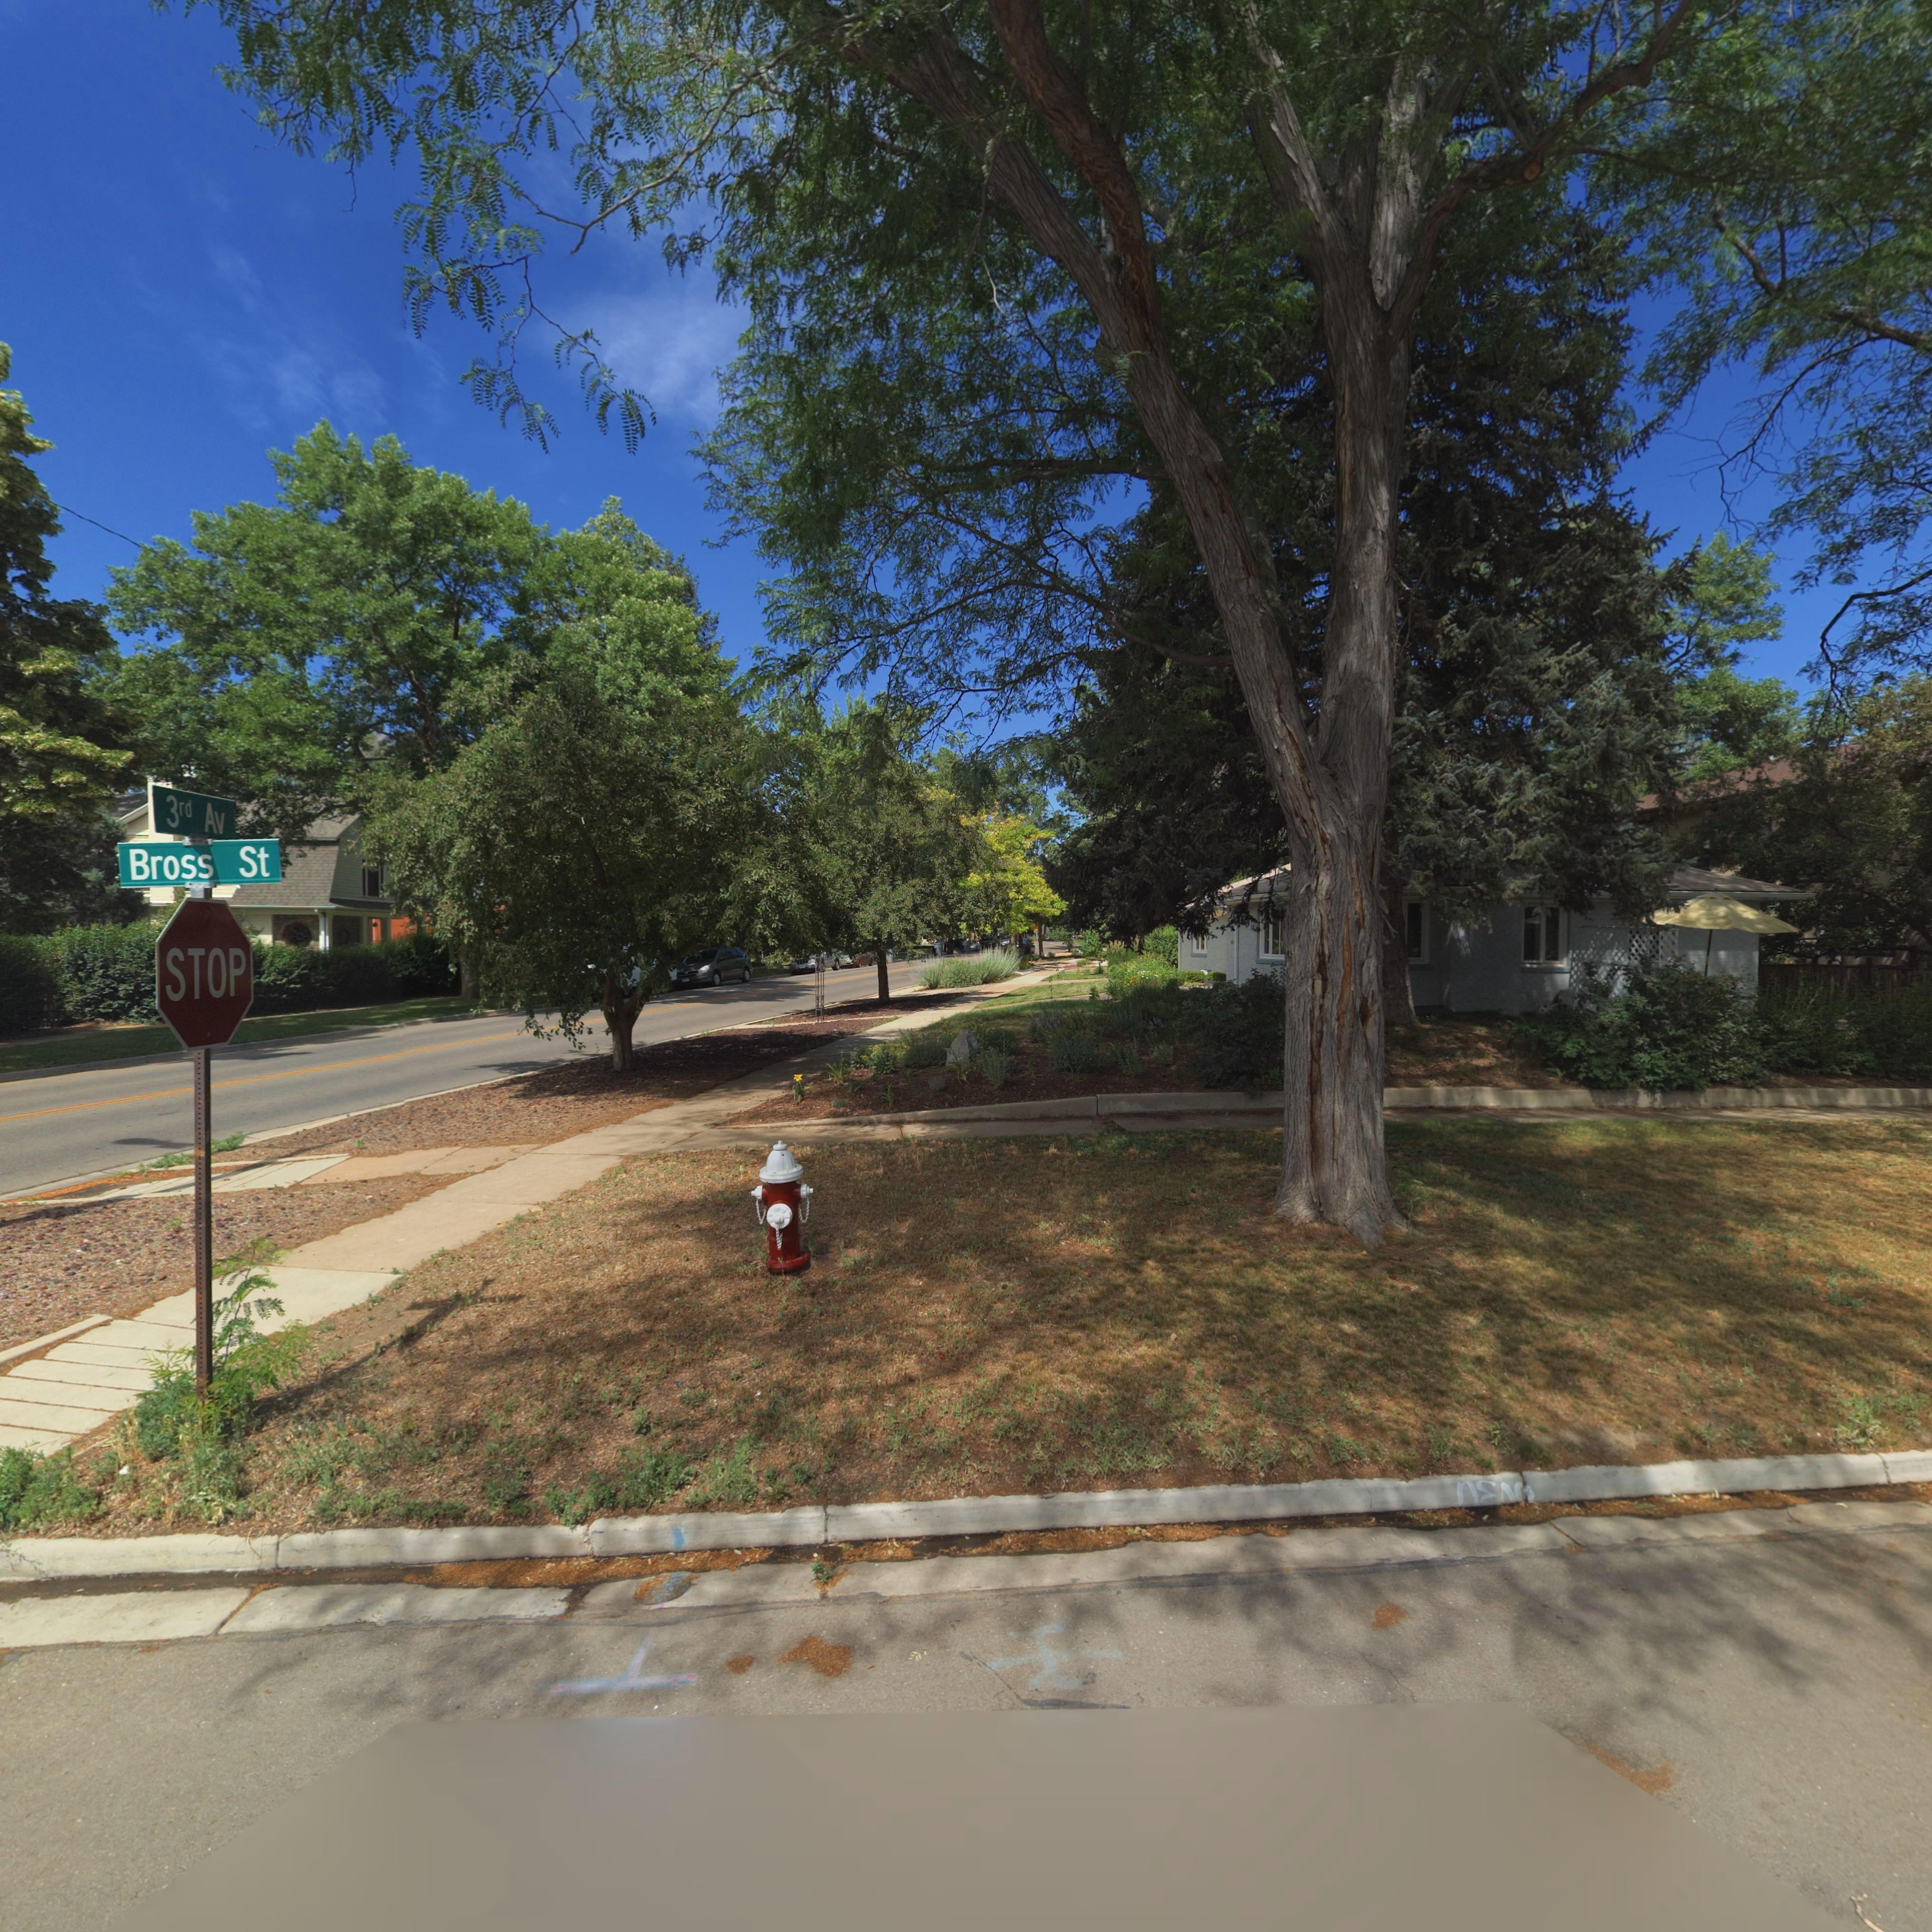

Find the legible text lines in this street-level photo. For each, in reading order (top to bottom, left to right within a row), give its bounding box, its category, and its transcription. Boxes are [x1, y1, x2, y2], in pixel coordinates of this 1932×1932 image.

[165, 794, 225, 834] StreetName: 3rd Av
[129, 845, 270, 880] StreetName: Bross St